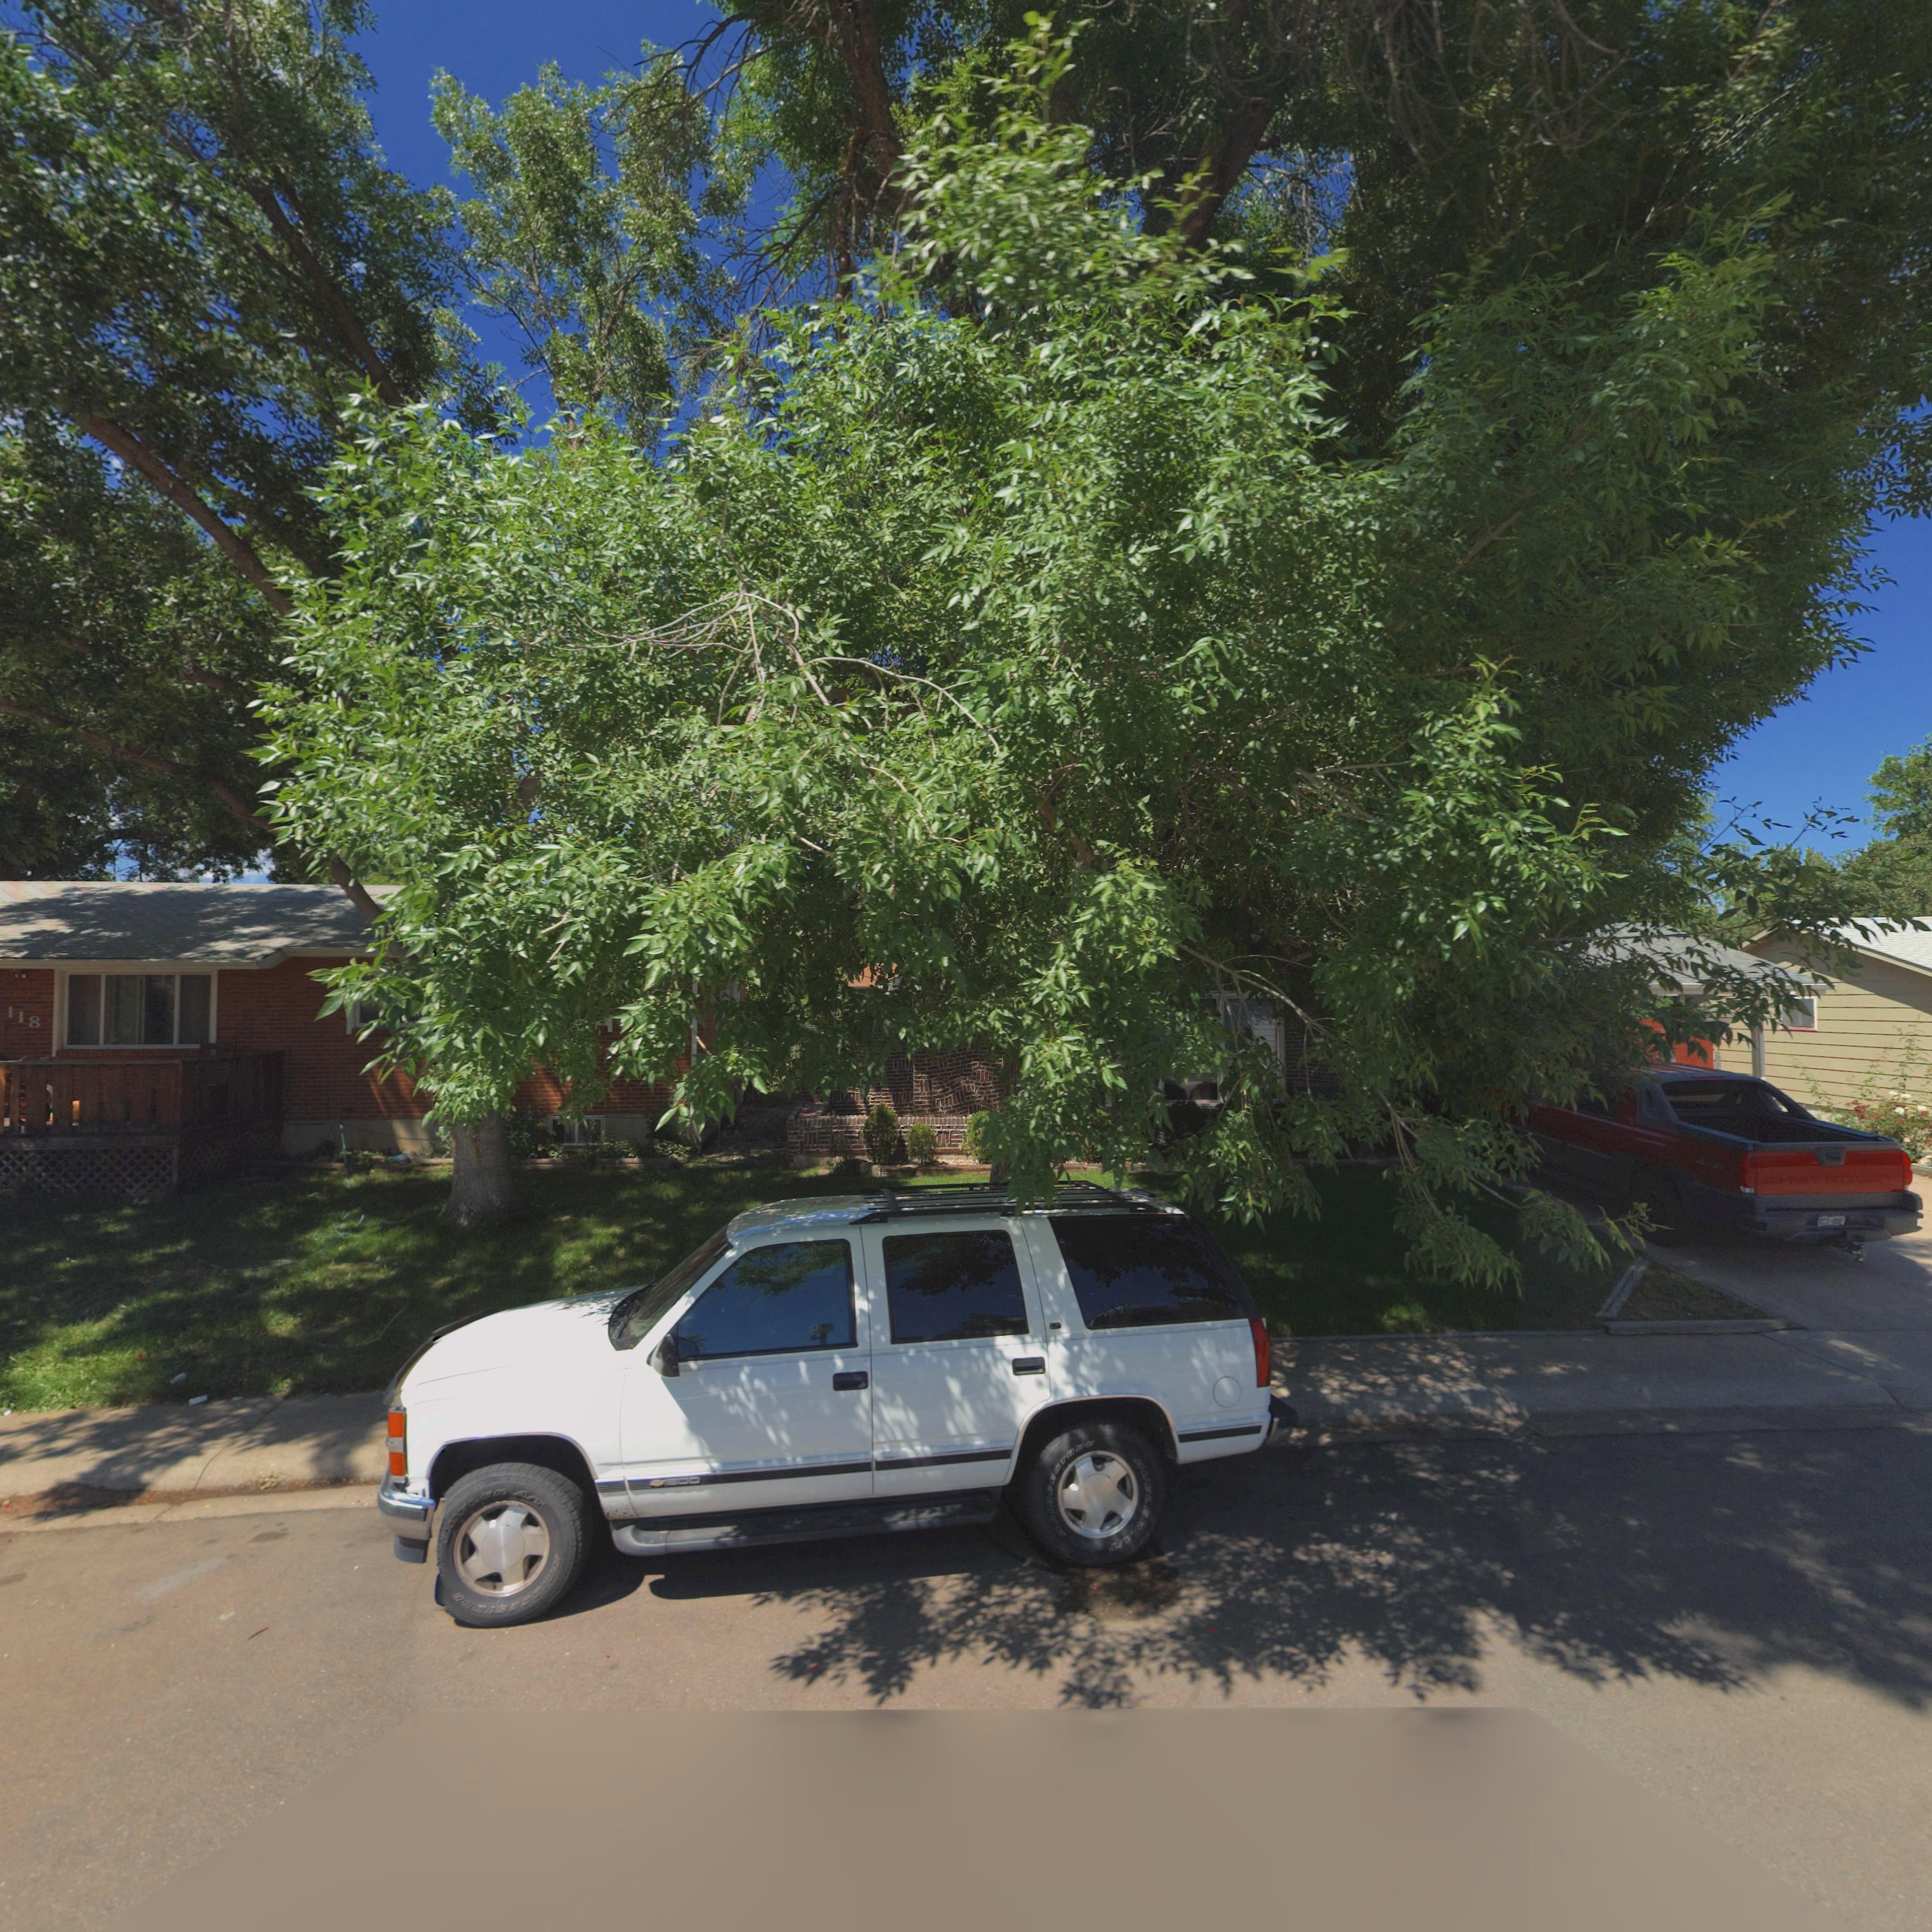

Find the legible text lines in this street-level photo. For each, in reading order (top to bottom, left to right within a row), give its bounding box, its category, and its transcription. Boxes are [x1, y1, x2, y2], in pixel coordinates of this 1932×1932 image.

[8, 1005, 41, 1028] StreetNumber: 118